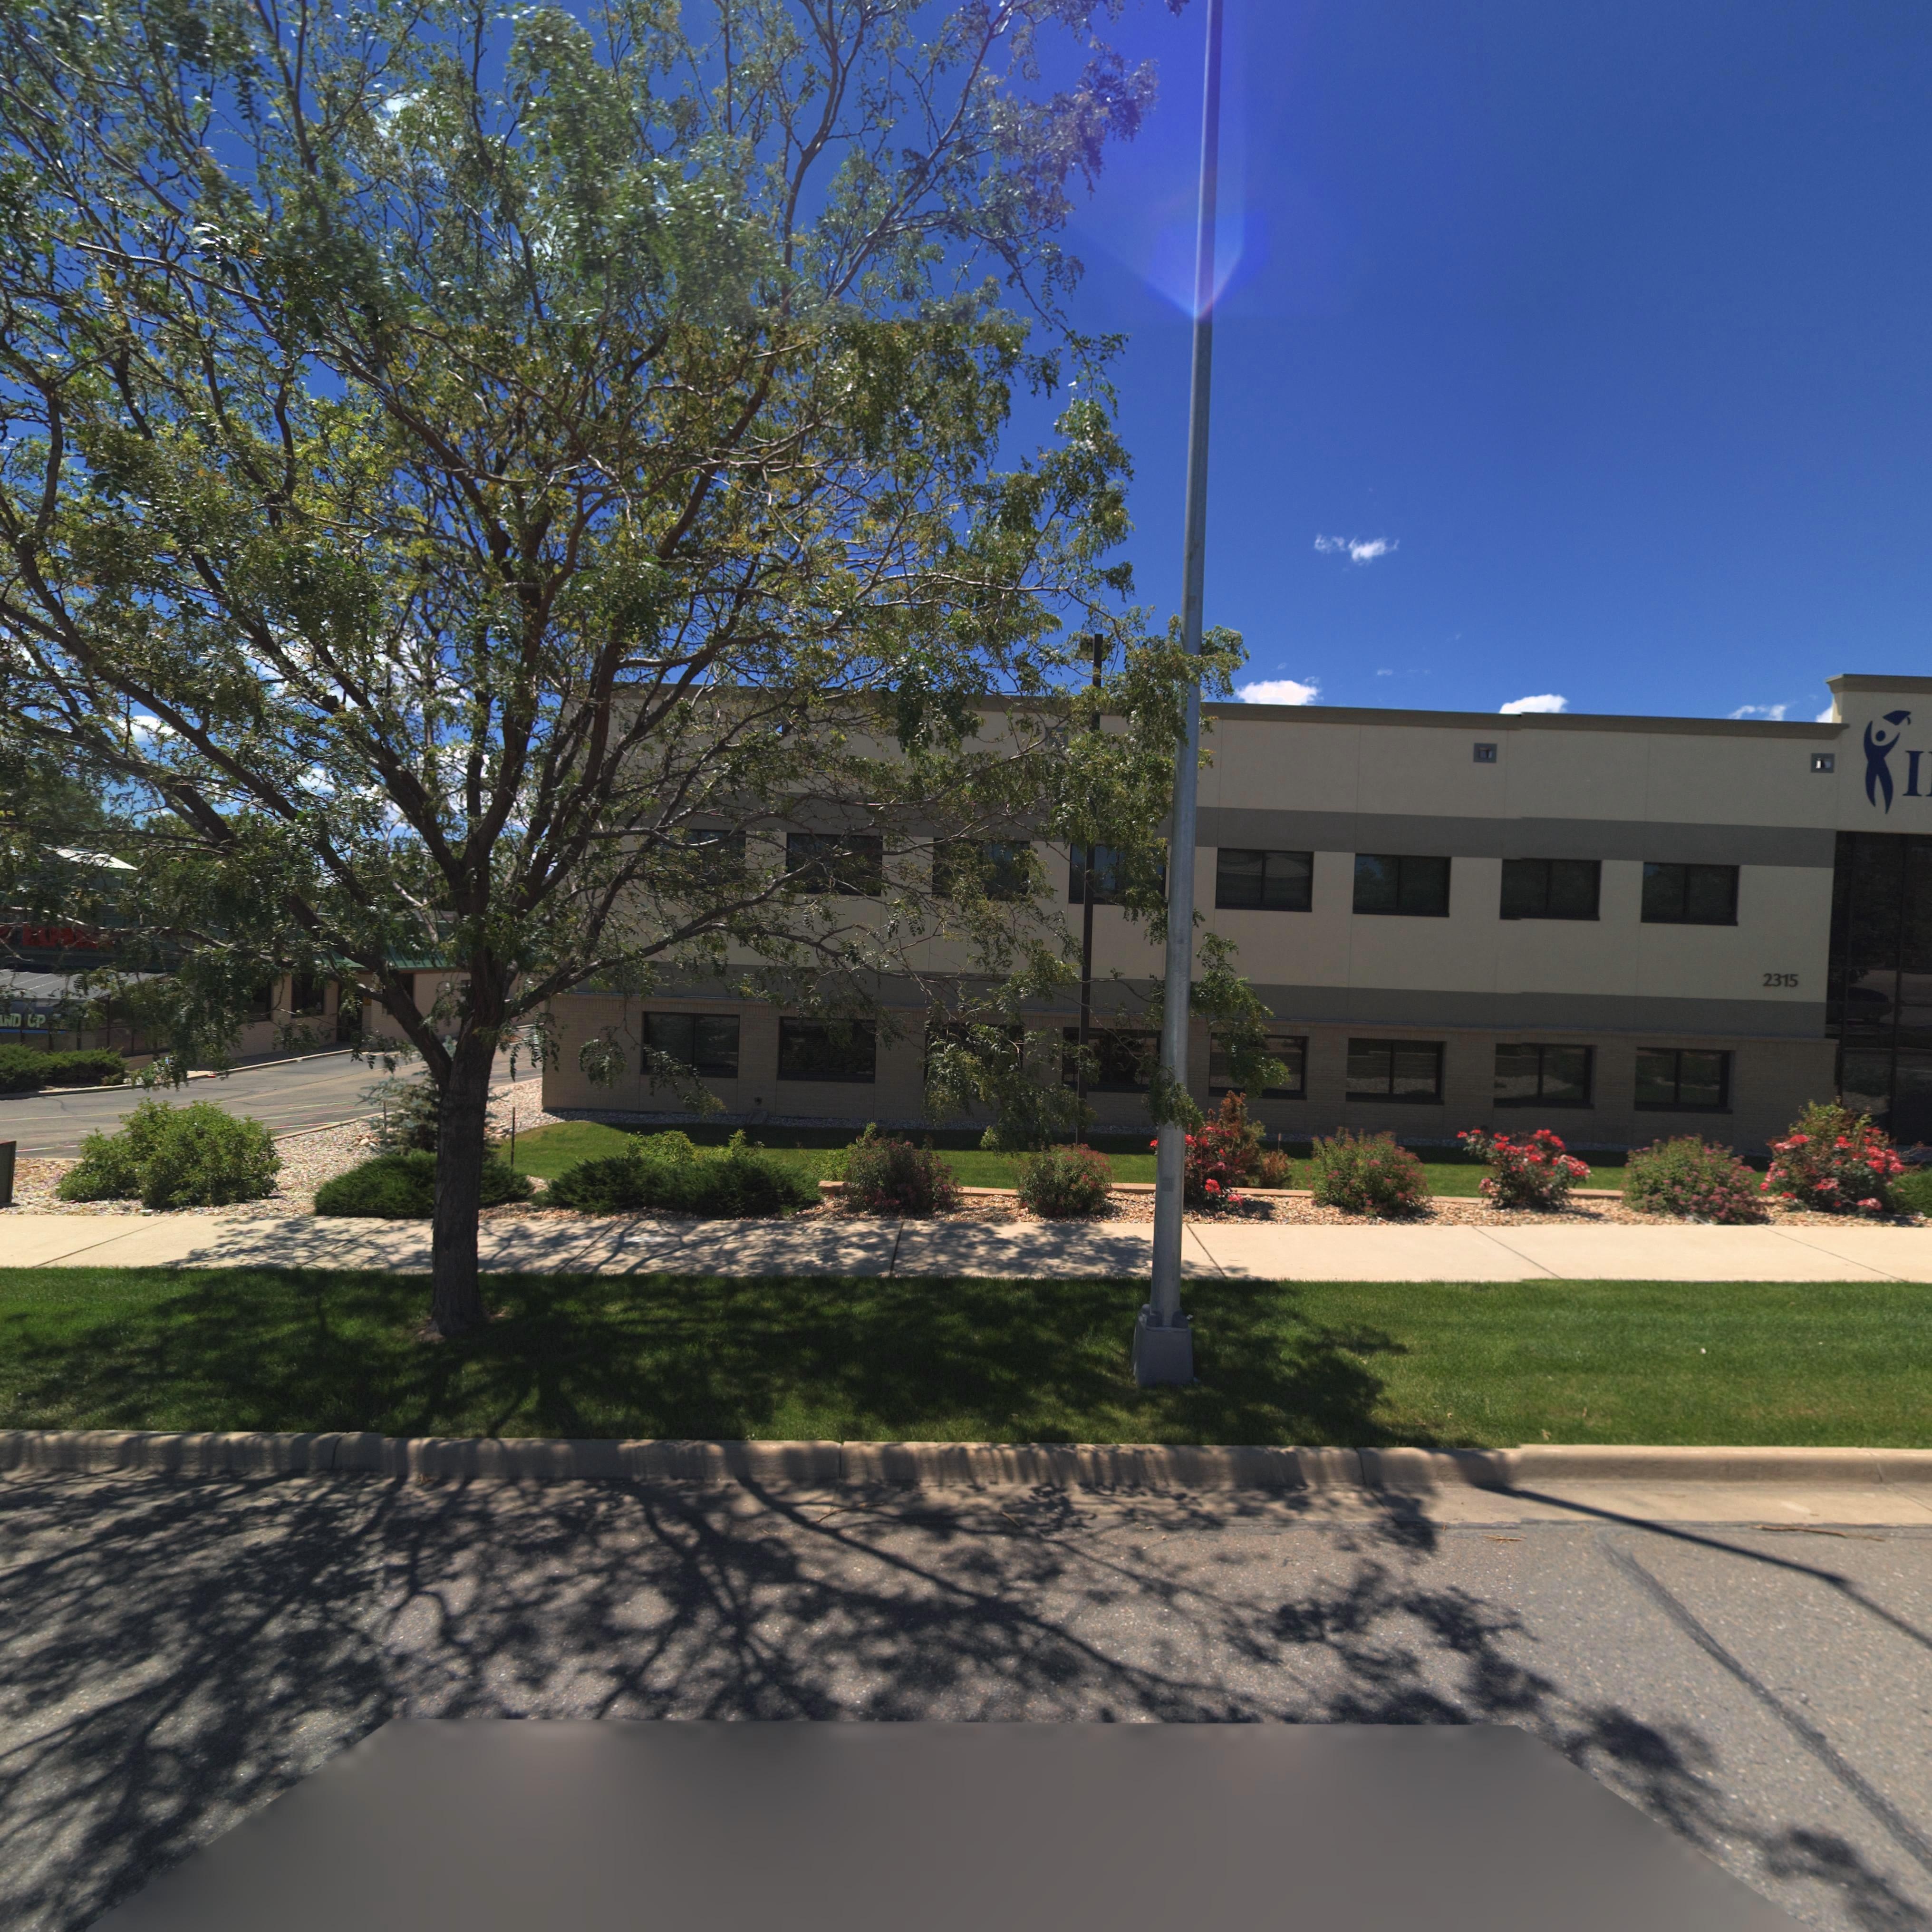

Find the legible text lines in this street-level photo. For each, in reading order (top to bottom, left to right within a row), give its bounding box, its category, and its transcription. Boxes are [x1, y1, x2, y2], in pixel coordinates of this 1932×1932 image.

[1902, 749, 1924, 797] BusinessName: I
[1762, 972, 1798, 987] StreetNumber: 2315